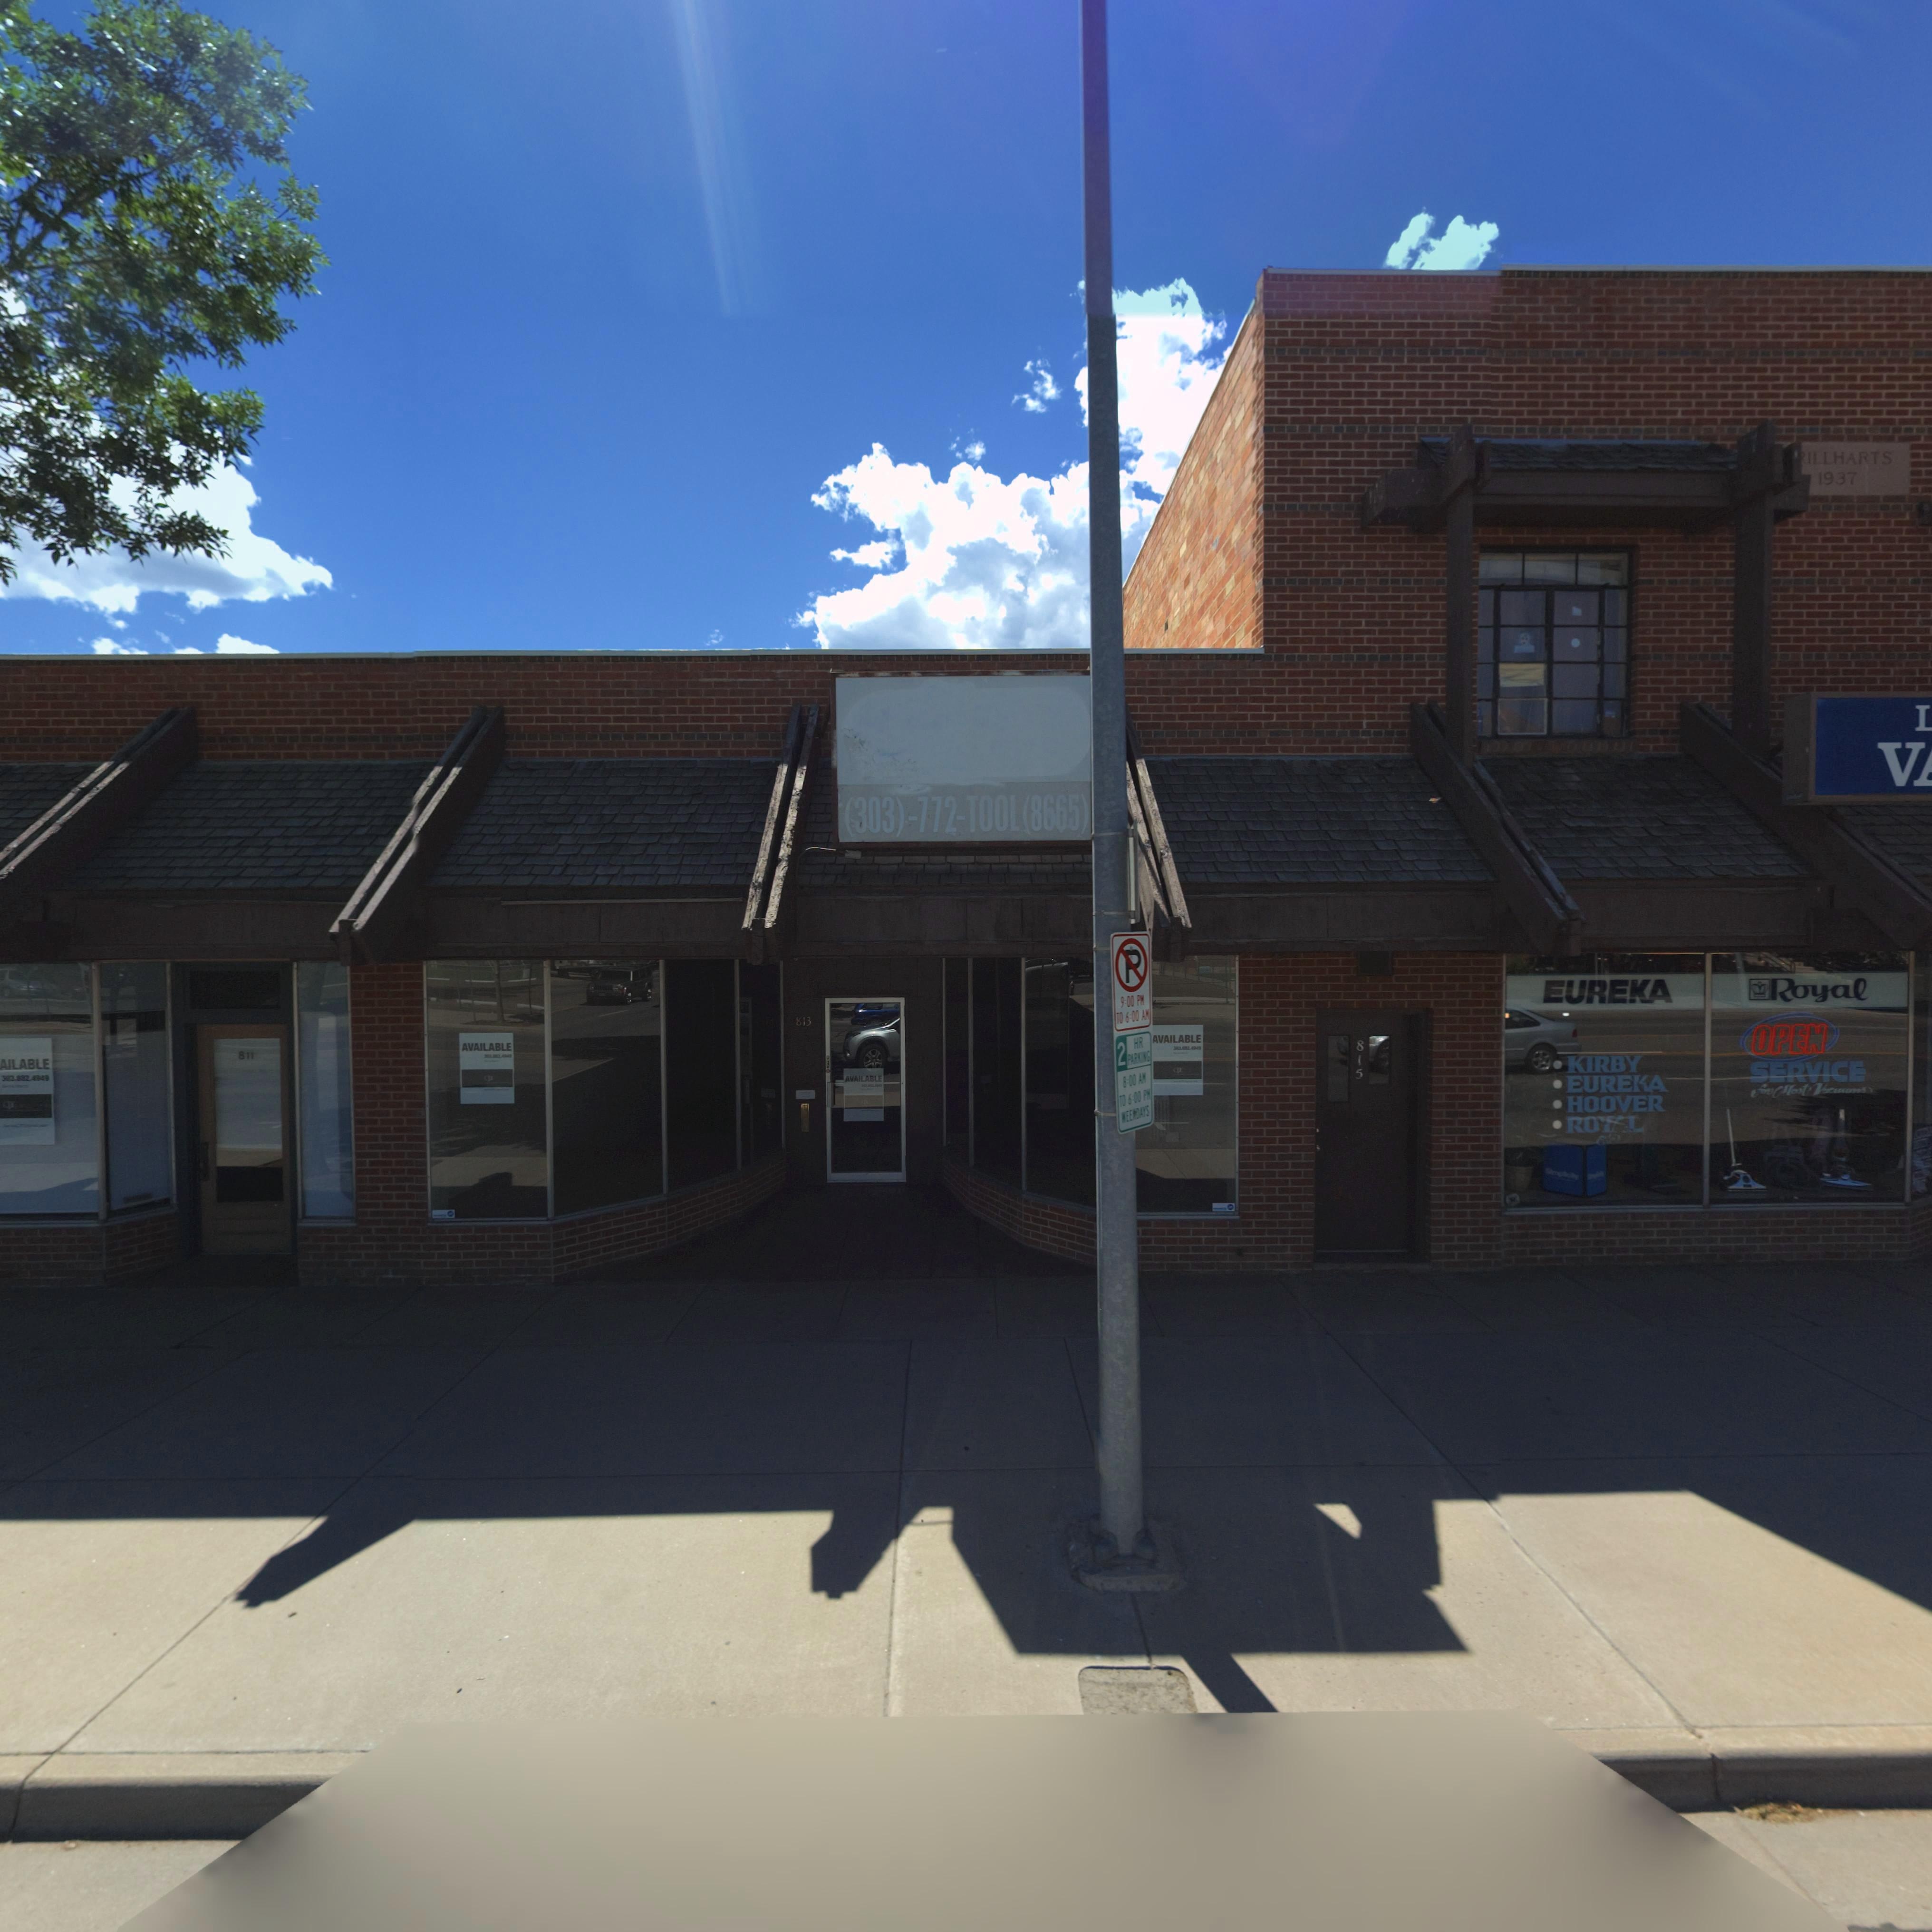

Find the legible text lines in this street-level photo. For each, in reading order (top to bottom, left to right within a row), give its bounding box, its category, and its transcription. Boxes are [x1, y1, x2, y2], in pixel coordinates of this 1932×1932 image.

[1876, 741, 1926, 787] BusinessName: V
[795, 1016, 811, 1026] StreetNumber: 813
[238, 1050, 254, 1060] StreetNumber: 811
[1354, 1039, 1365, 1080] StreetNumber: 815